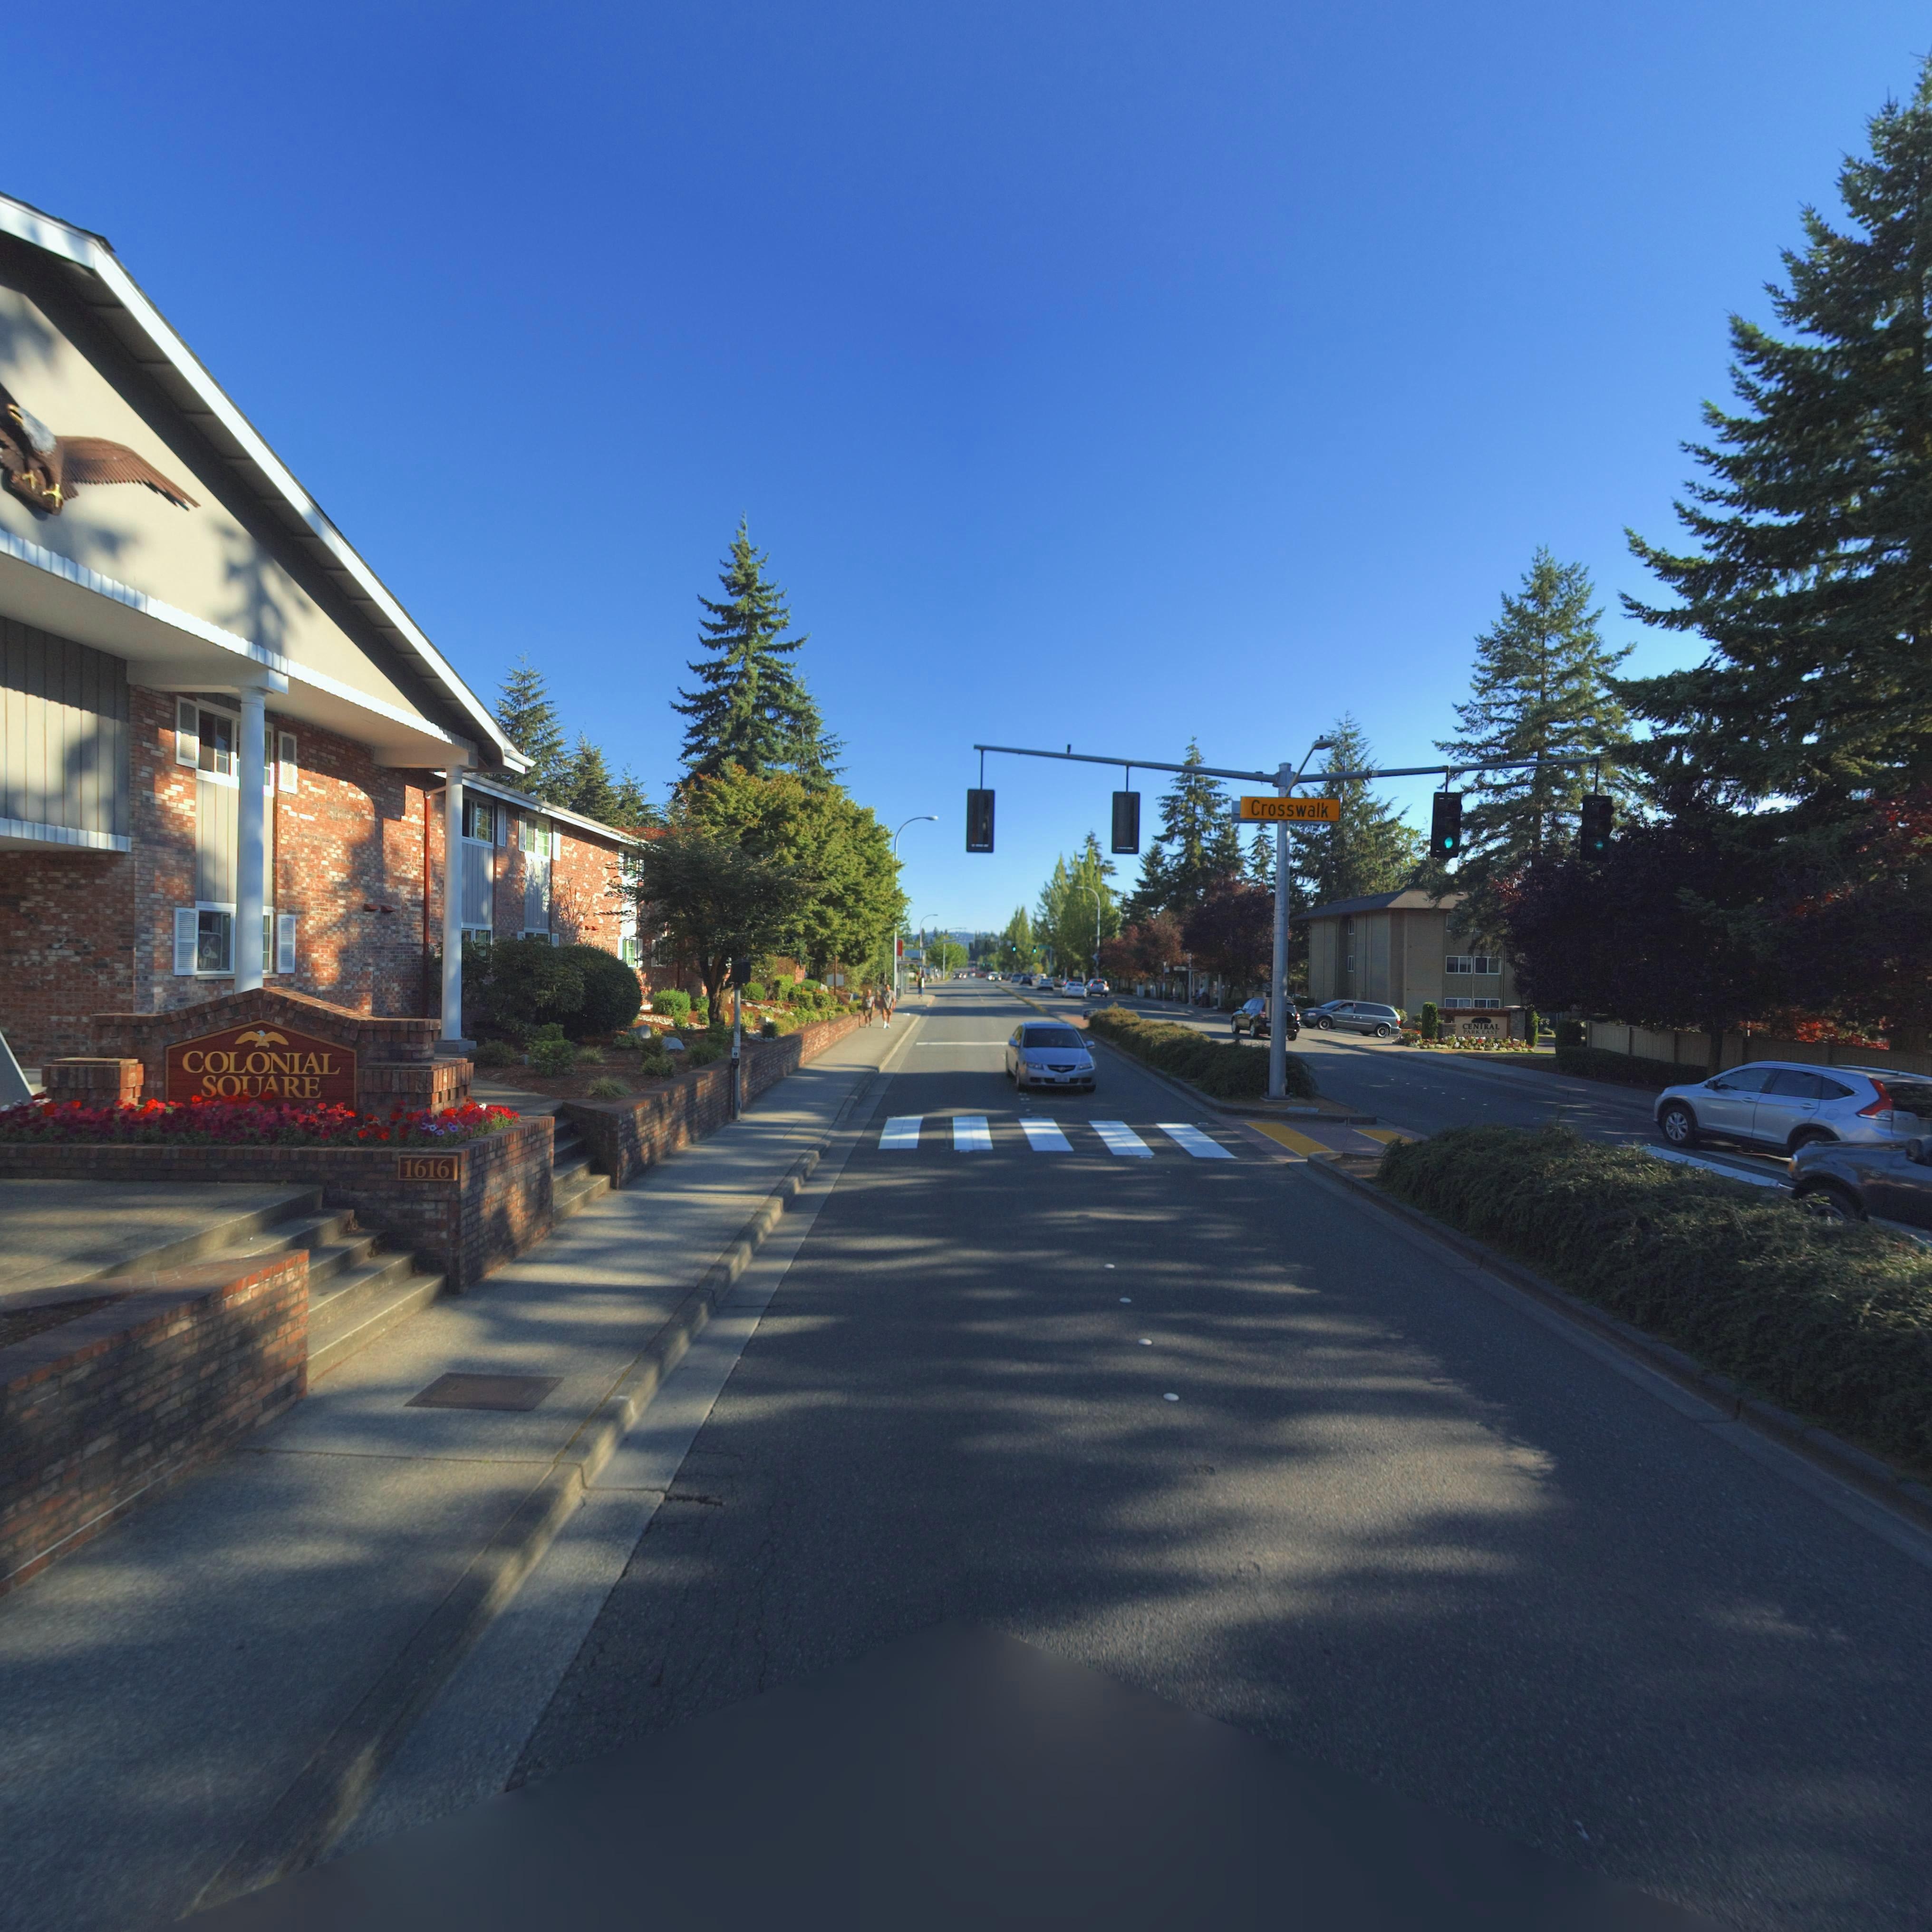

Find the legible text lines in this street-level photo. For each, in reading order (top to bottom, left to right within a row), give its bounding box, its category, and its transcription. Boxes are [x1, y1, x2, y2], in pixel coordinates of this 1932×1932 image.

[405, 1159, 449, 1178] StreetNumber: 1616